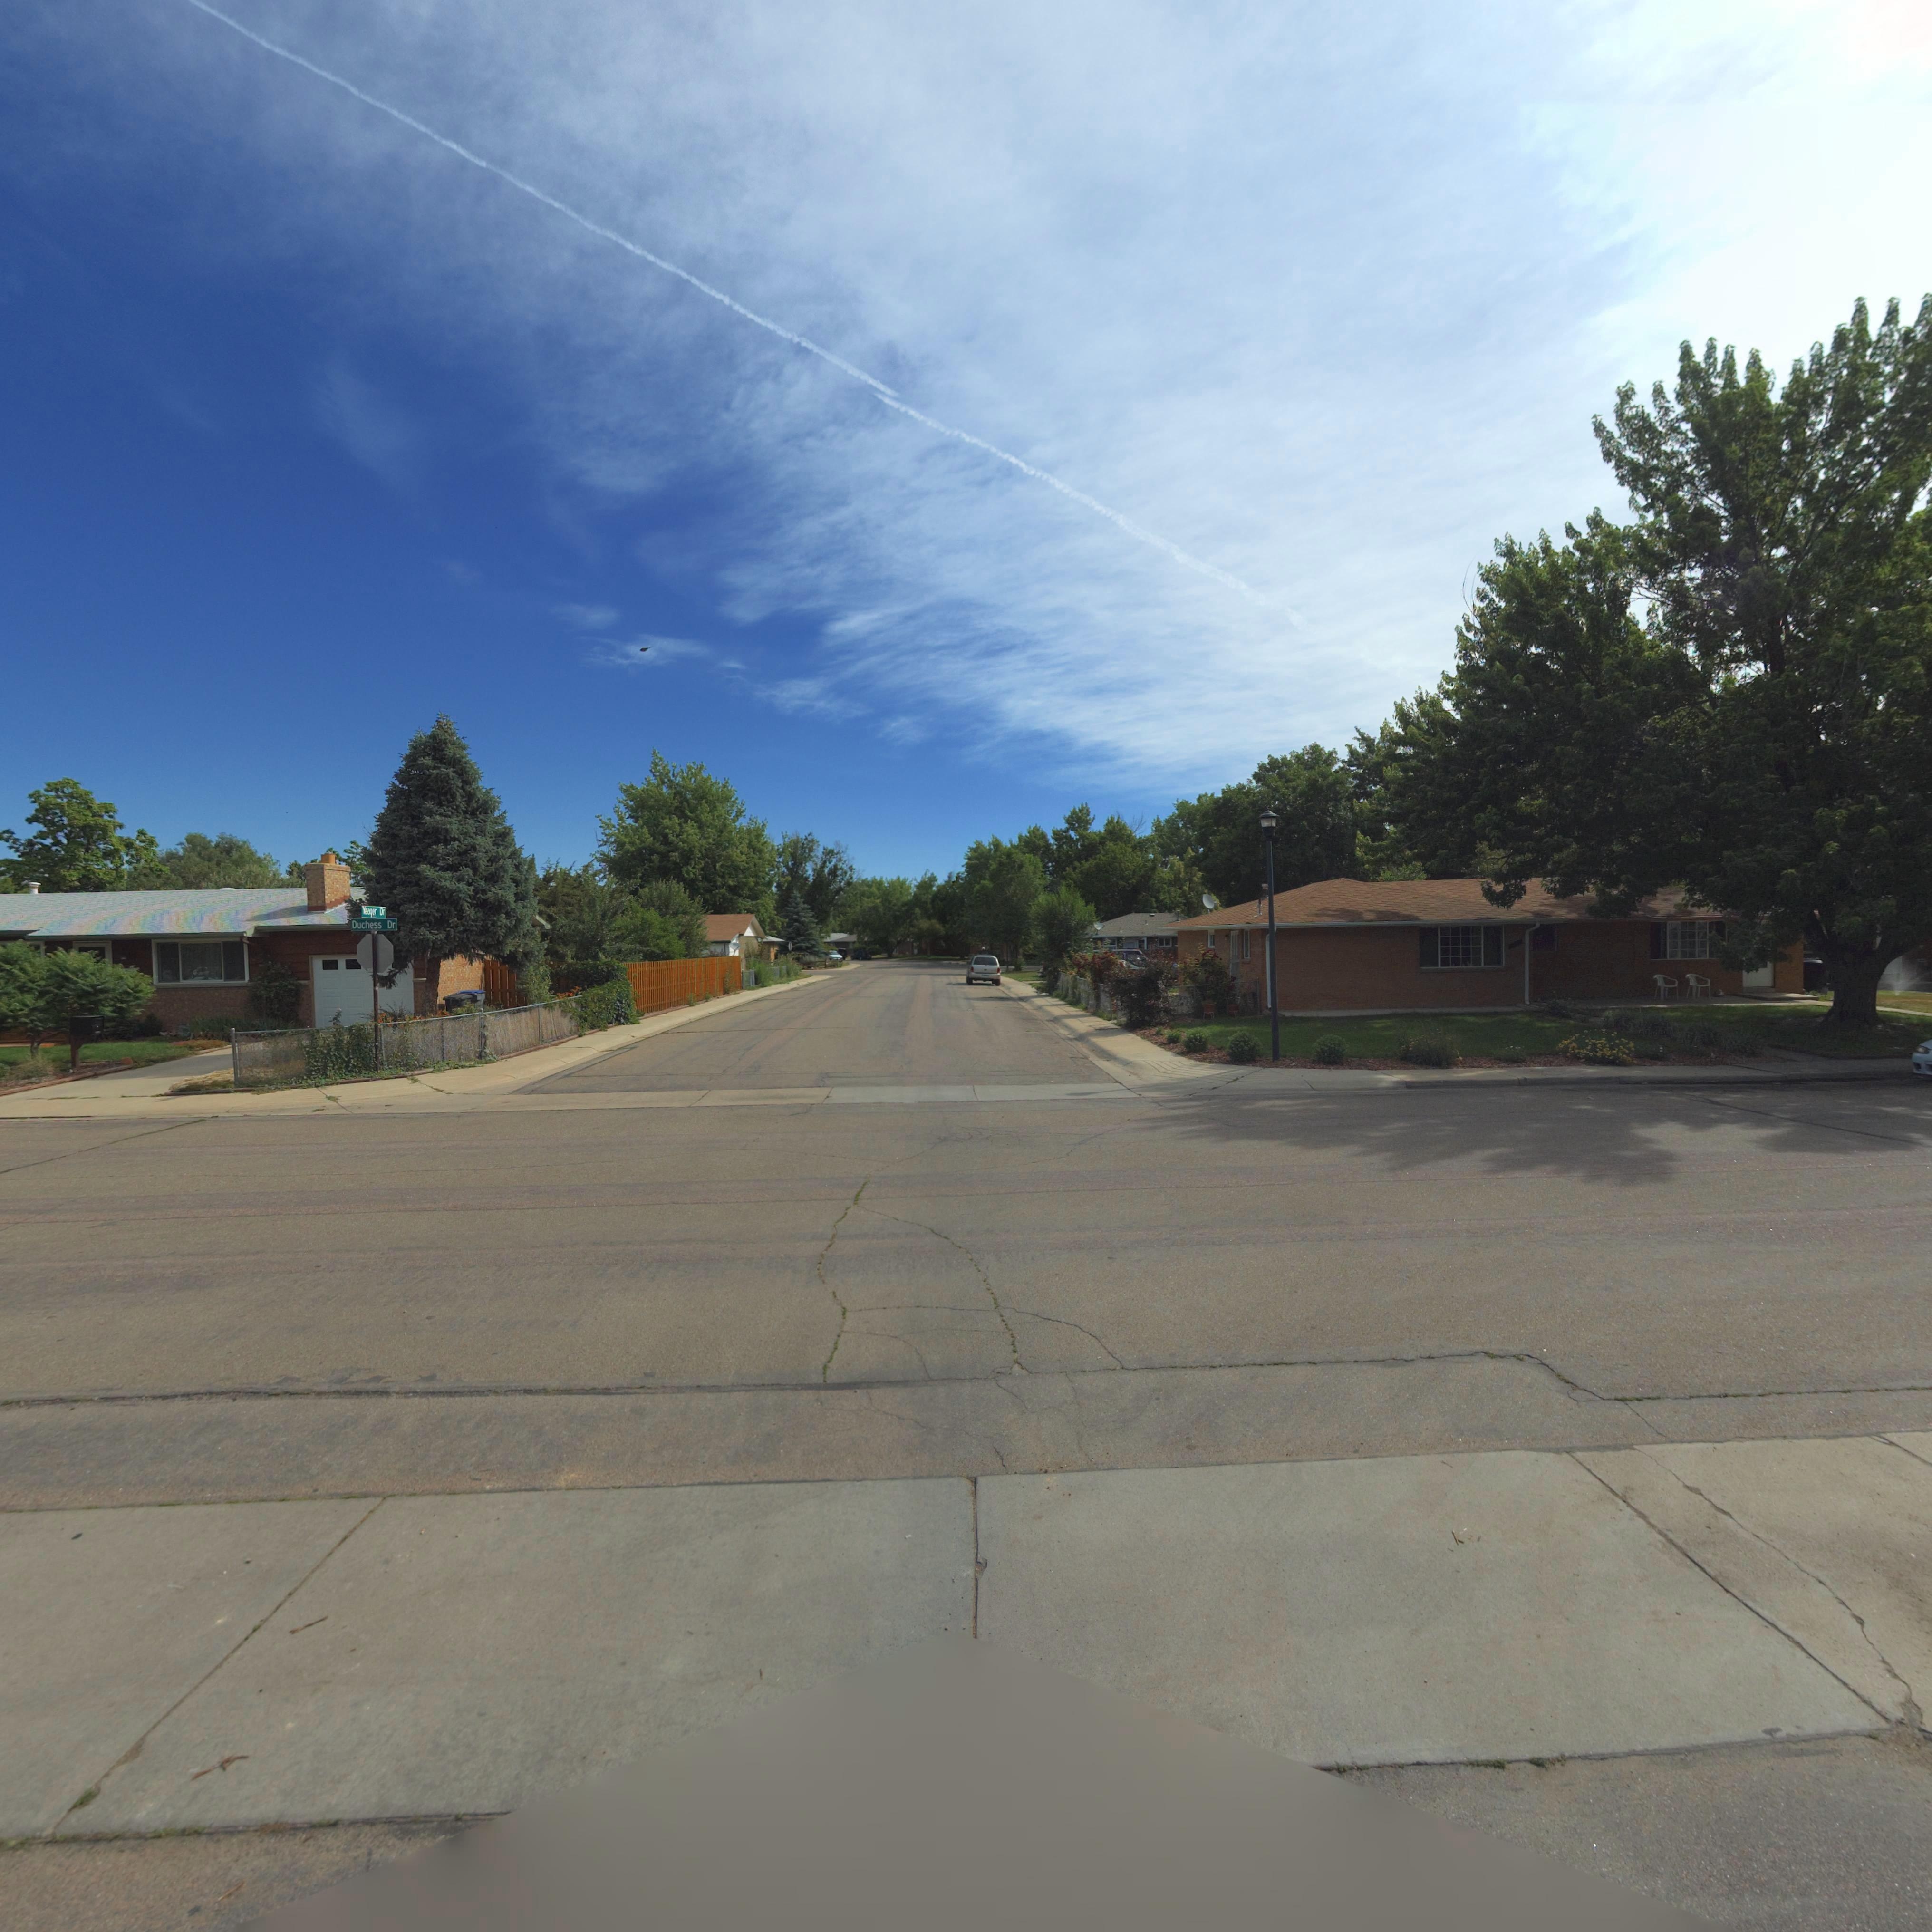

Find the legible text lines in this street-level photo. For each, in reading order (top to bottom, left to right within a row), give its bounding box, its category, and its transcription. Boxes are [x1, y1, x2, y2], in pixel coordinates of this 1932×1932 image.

[361, 905, 385, 918] StreetName: Yeager Dr
[351, 920, 396, 929] StreetName: Duchess Dr